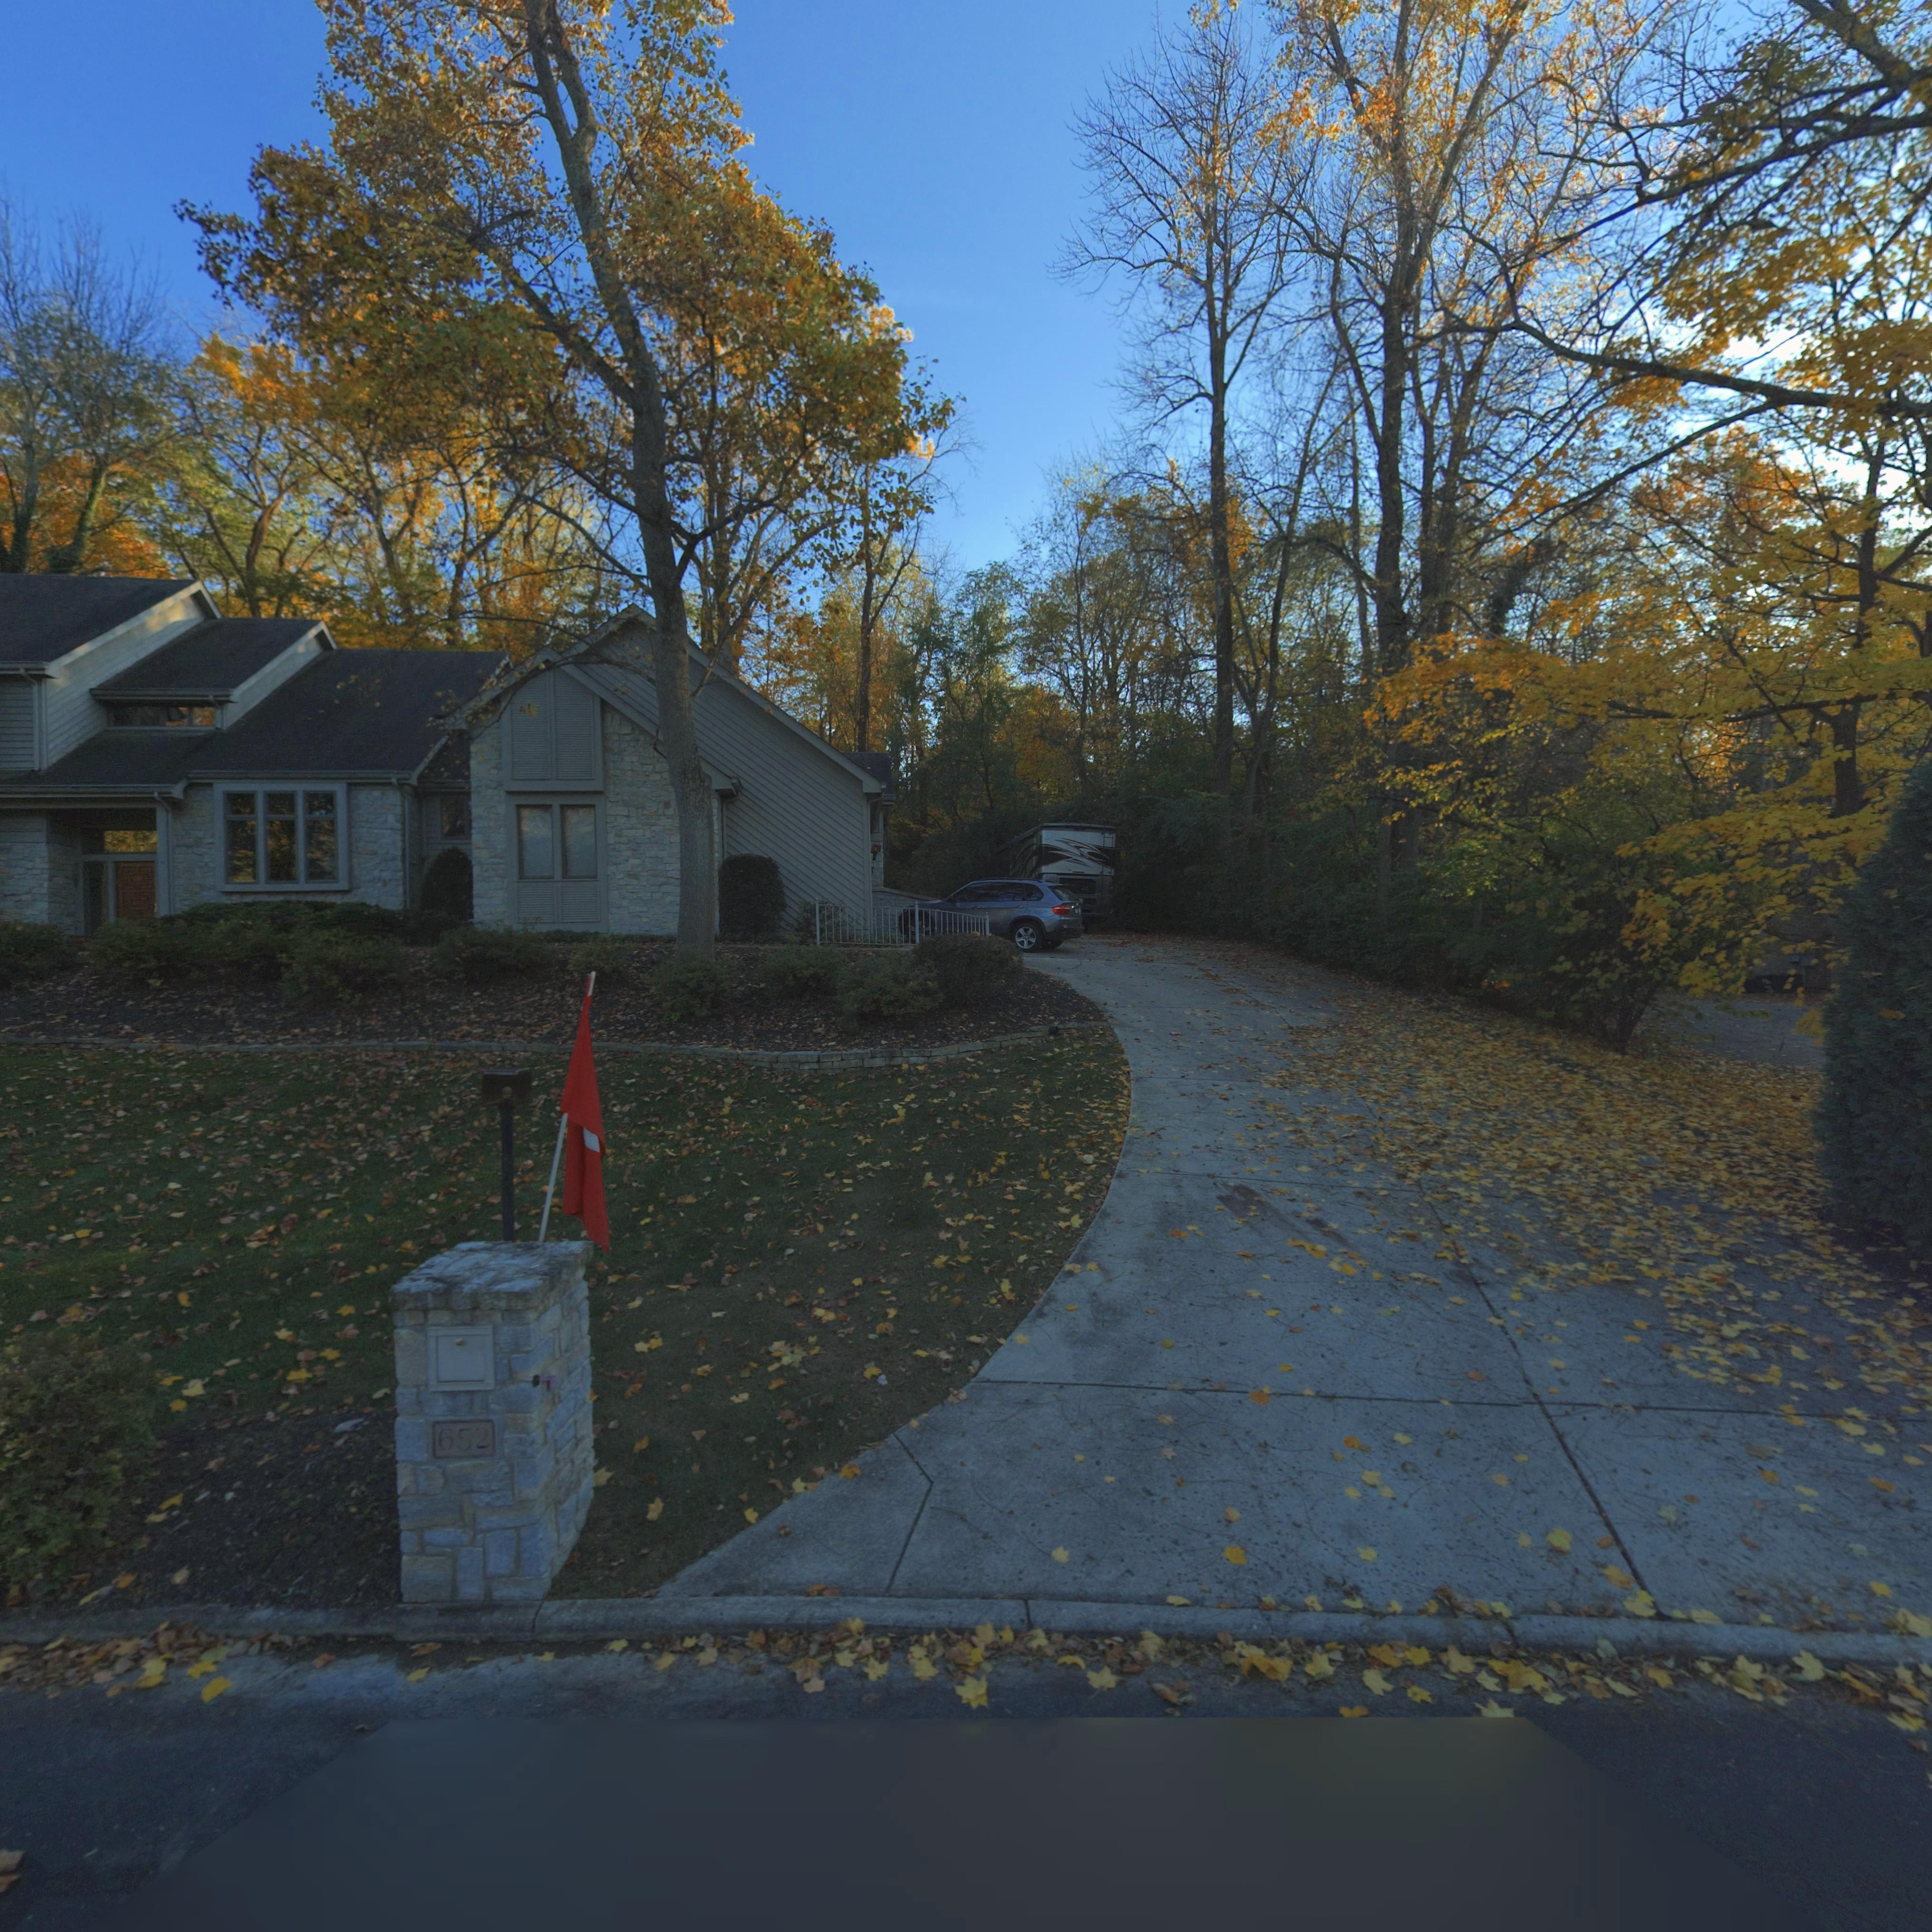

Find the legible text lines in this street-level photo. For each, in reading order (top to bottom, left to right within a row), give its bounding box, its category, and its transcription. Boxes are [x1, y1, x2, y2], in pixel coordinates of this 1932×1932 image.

[437, 1426, 493, 1452] StreetNumber: 652